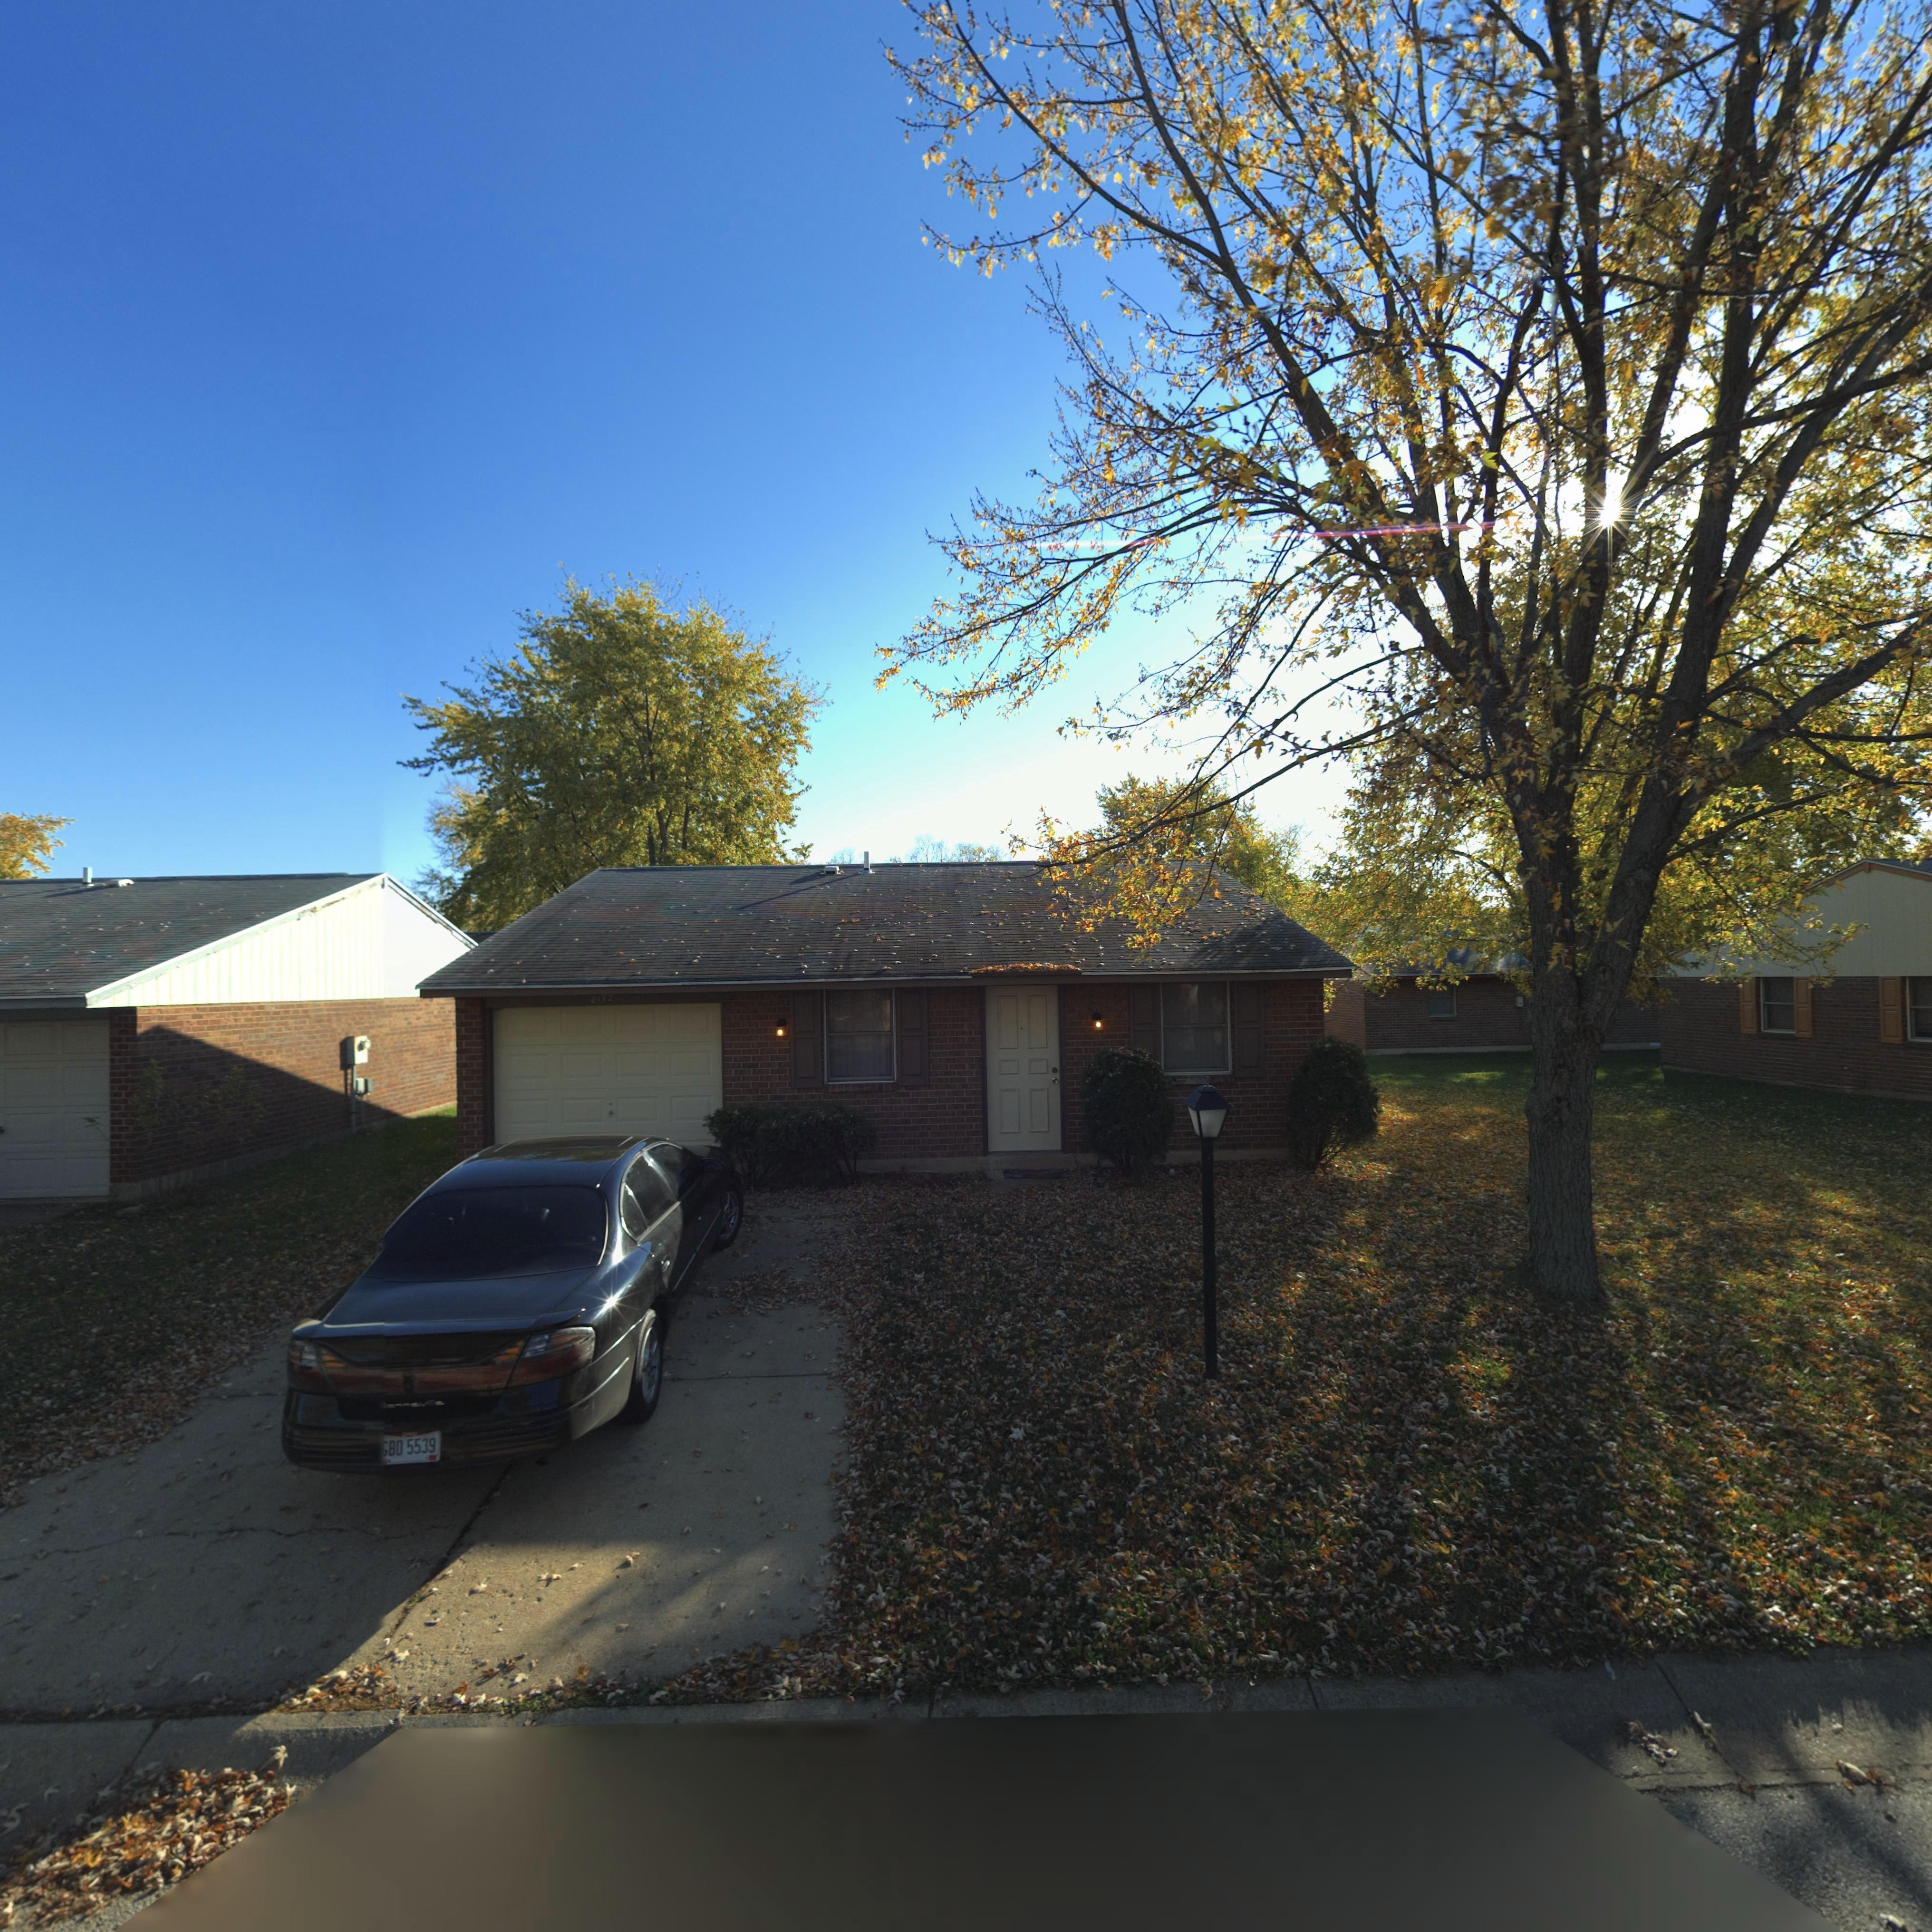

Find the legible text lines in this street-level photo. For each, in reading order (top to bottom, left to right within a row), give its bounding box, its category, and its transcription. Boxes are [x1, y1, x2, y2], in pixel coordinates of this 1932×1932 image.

[589, 993, 614, 1006] StreetNumber: 8172